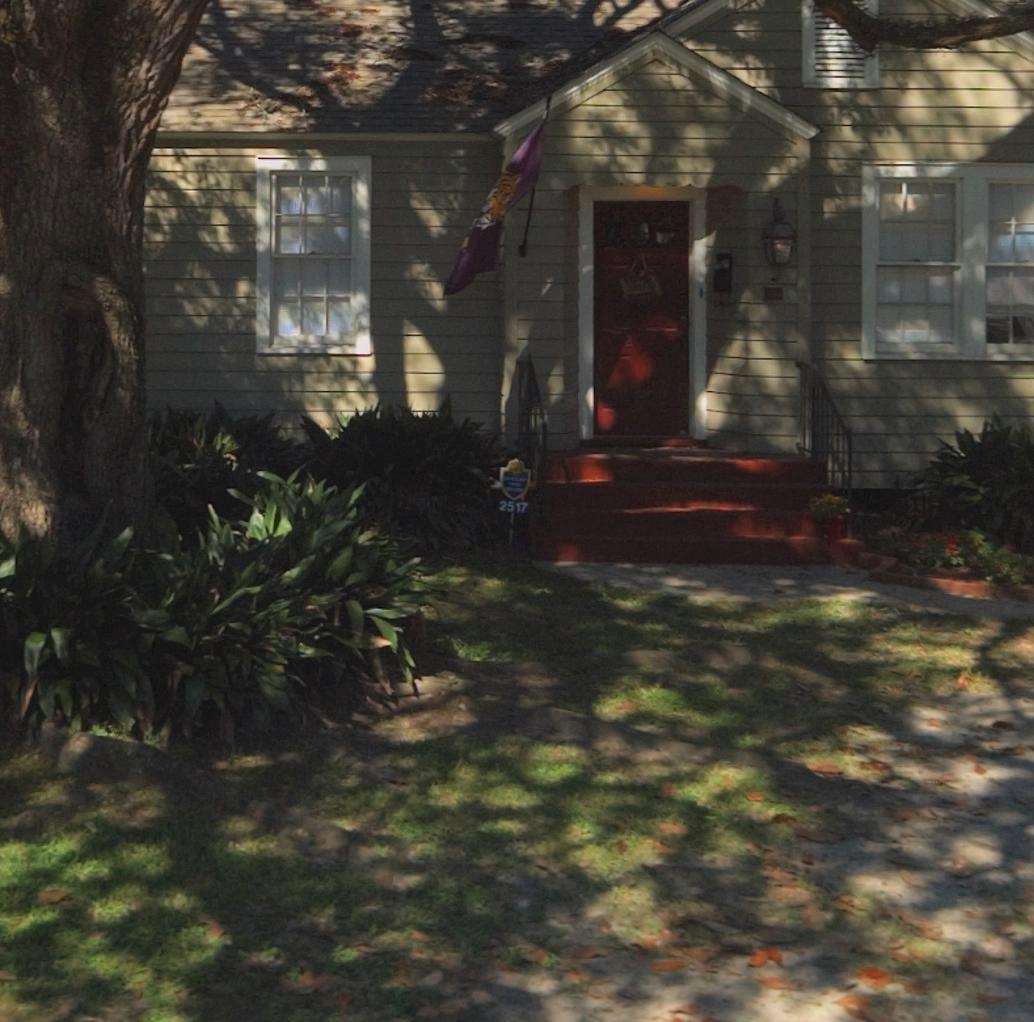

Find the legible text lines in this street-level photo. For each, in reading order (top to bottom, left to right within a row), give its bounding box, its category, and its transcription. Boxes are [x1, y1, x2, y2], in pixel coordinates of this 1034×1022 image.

[498, 499, 529, 513] StreetNumber: 2517